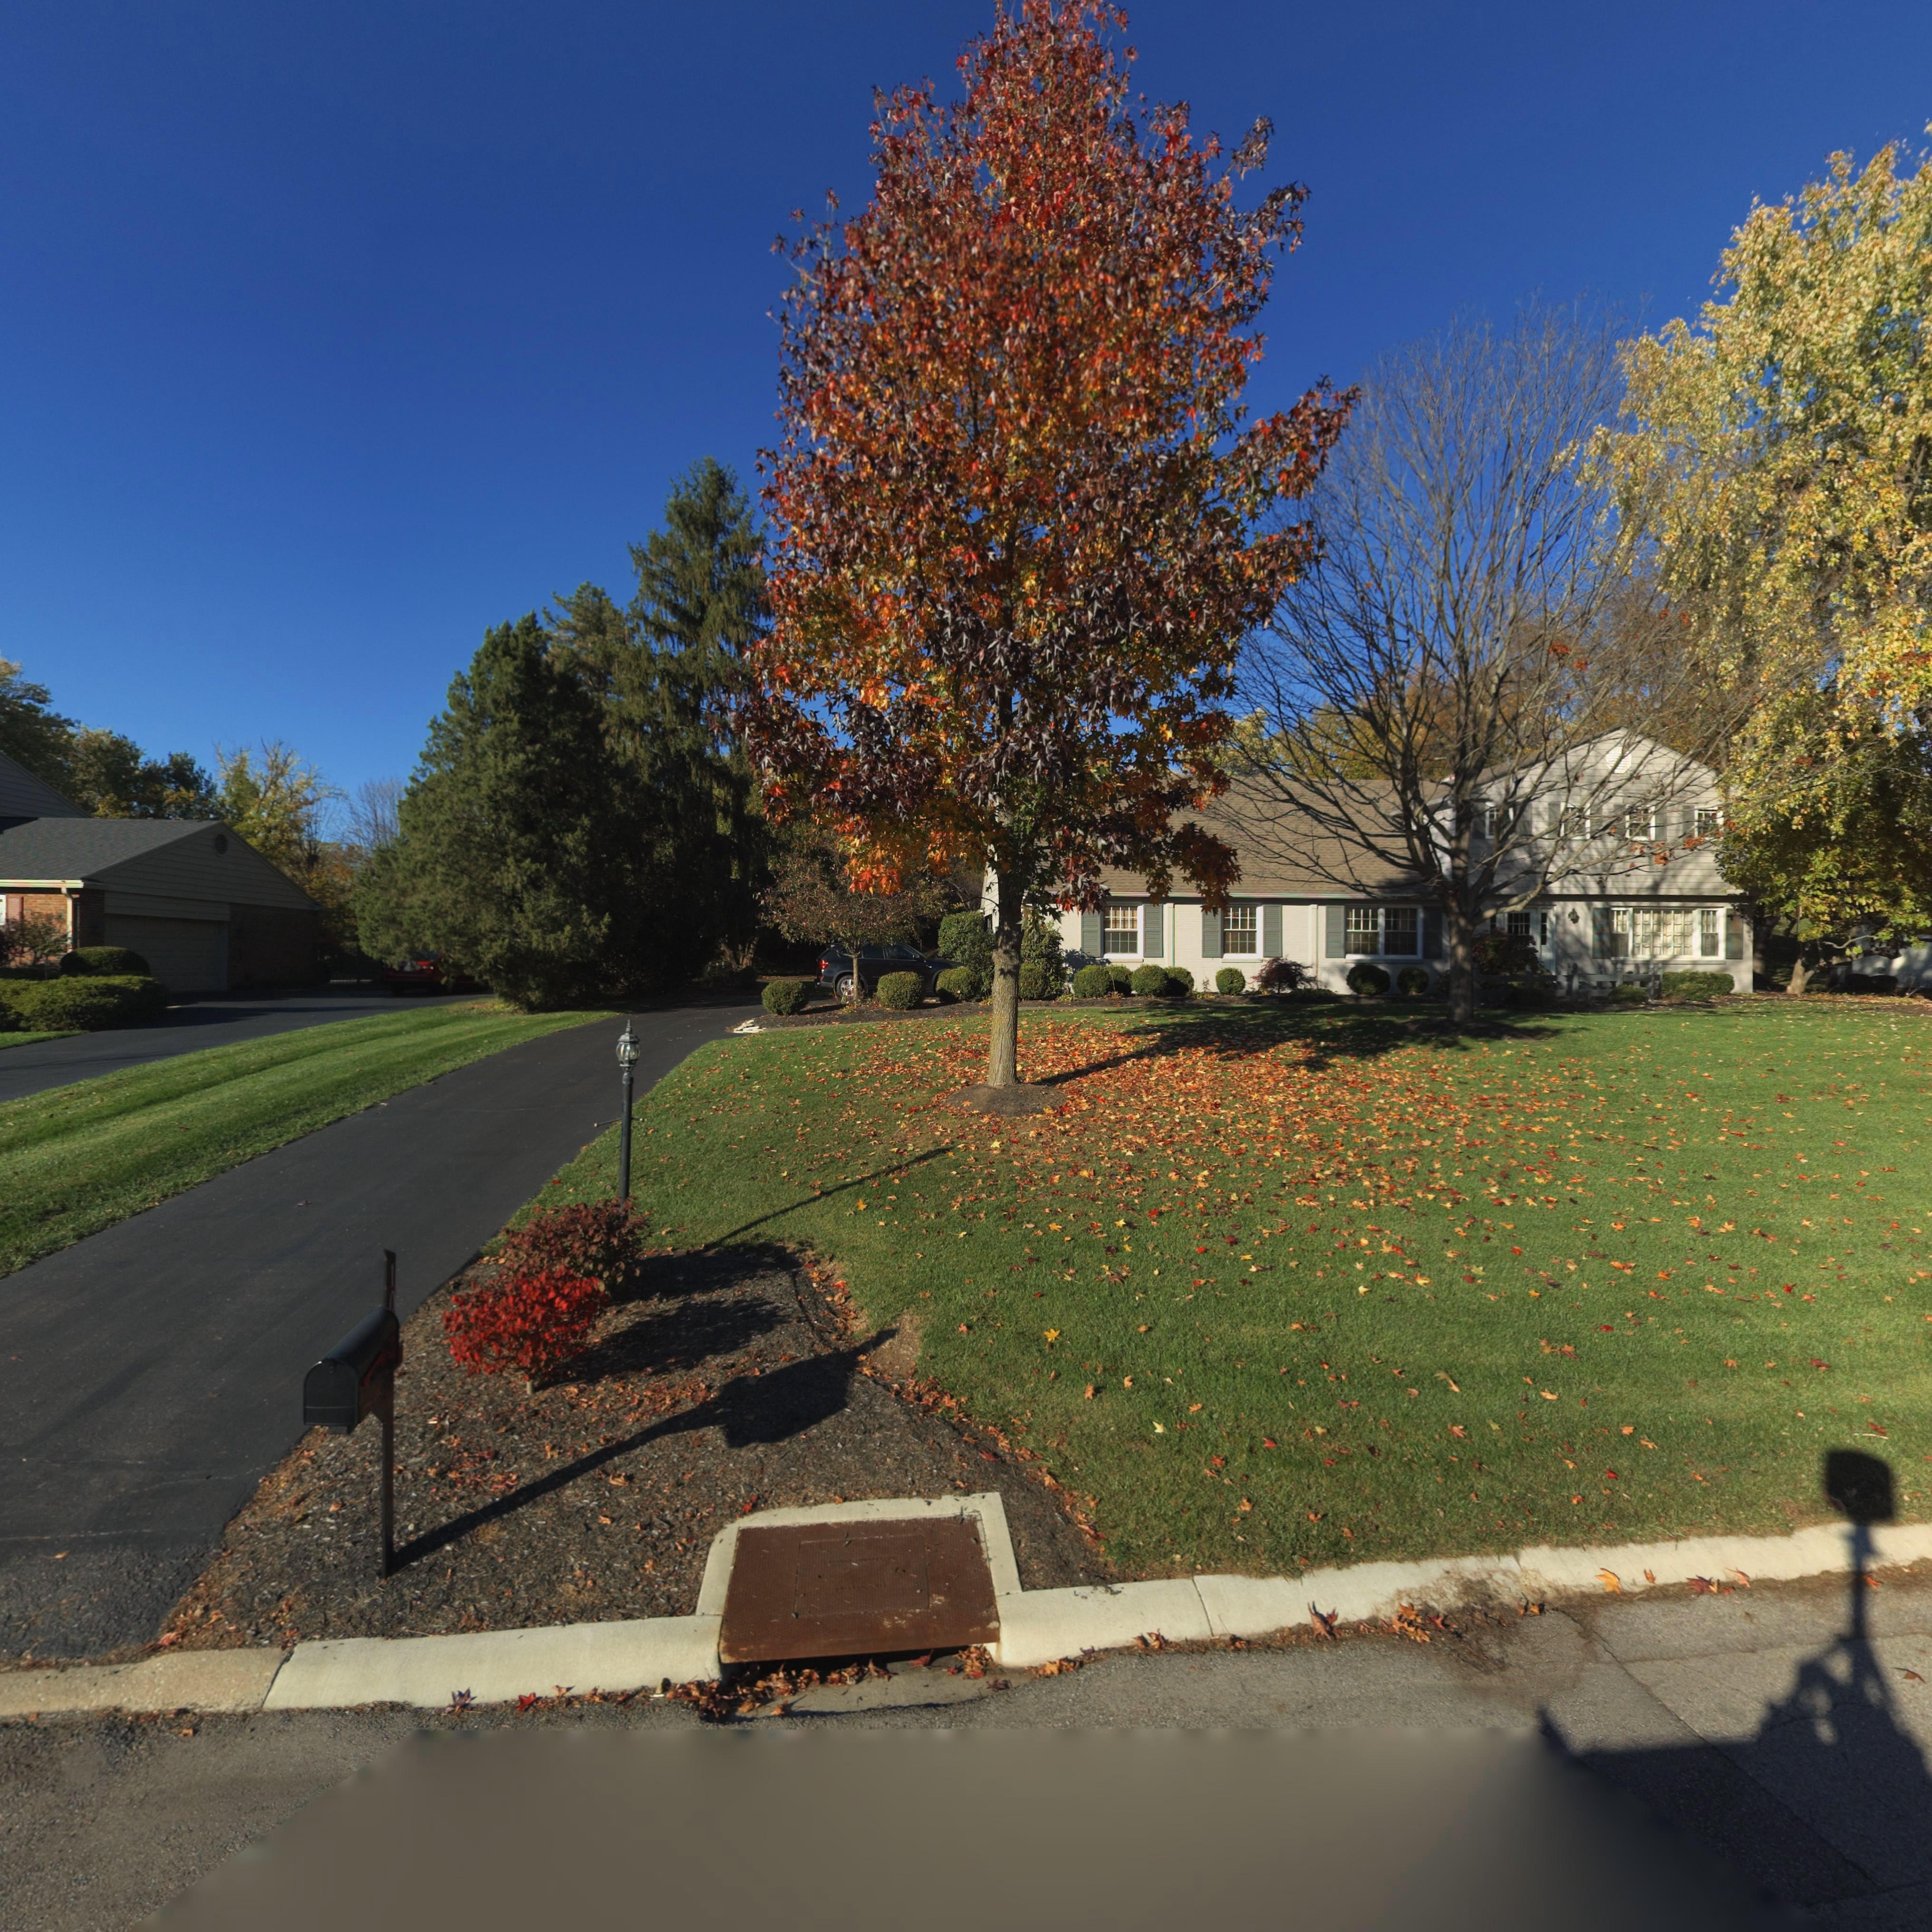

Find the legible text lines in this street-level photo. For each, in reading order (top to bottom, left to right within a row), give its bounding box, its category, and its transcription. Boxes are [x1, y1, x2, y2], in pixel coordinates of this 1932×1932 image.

[389, 1259, 396, 1313] StreetNumber: 1*